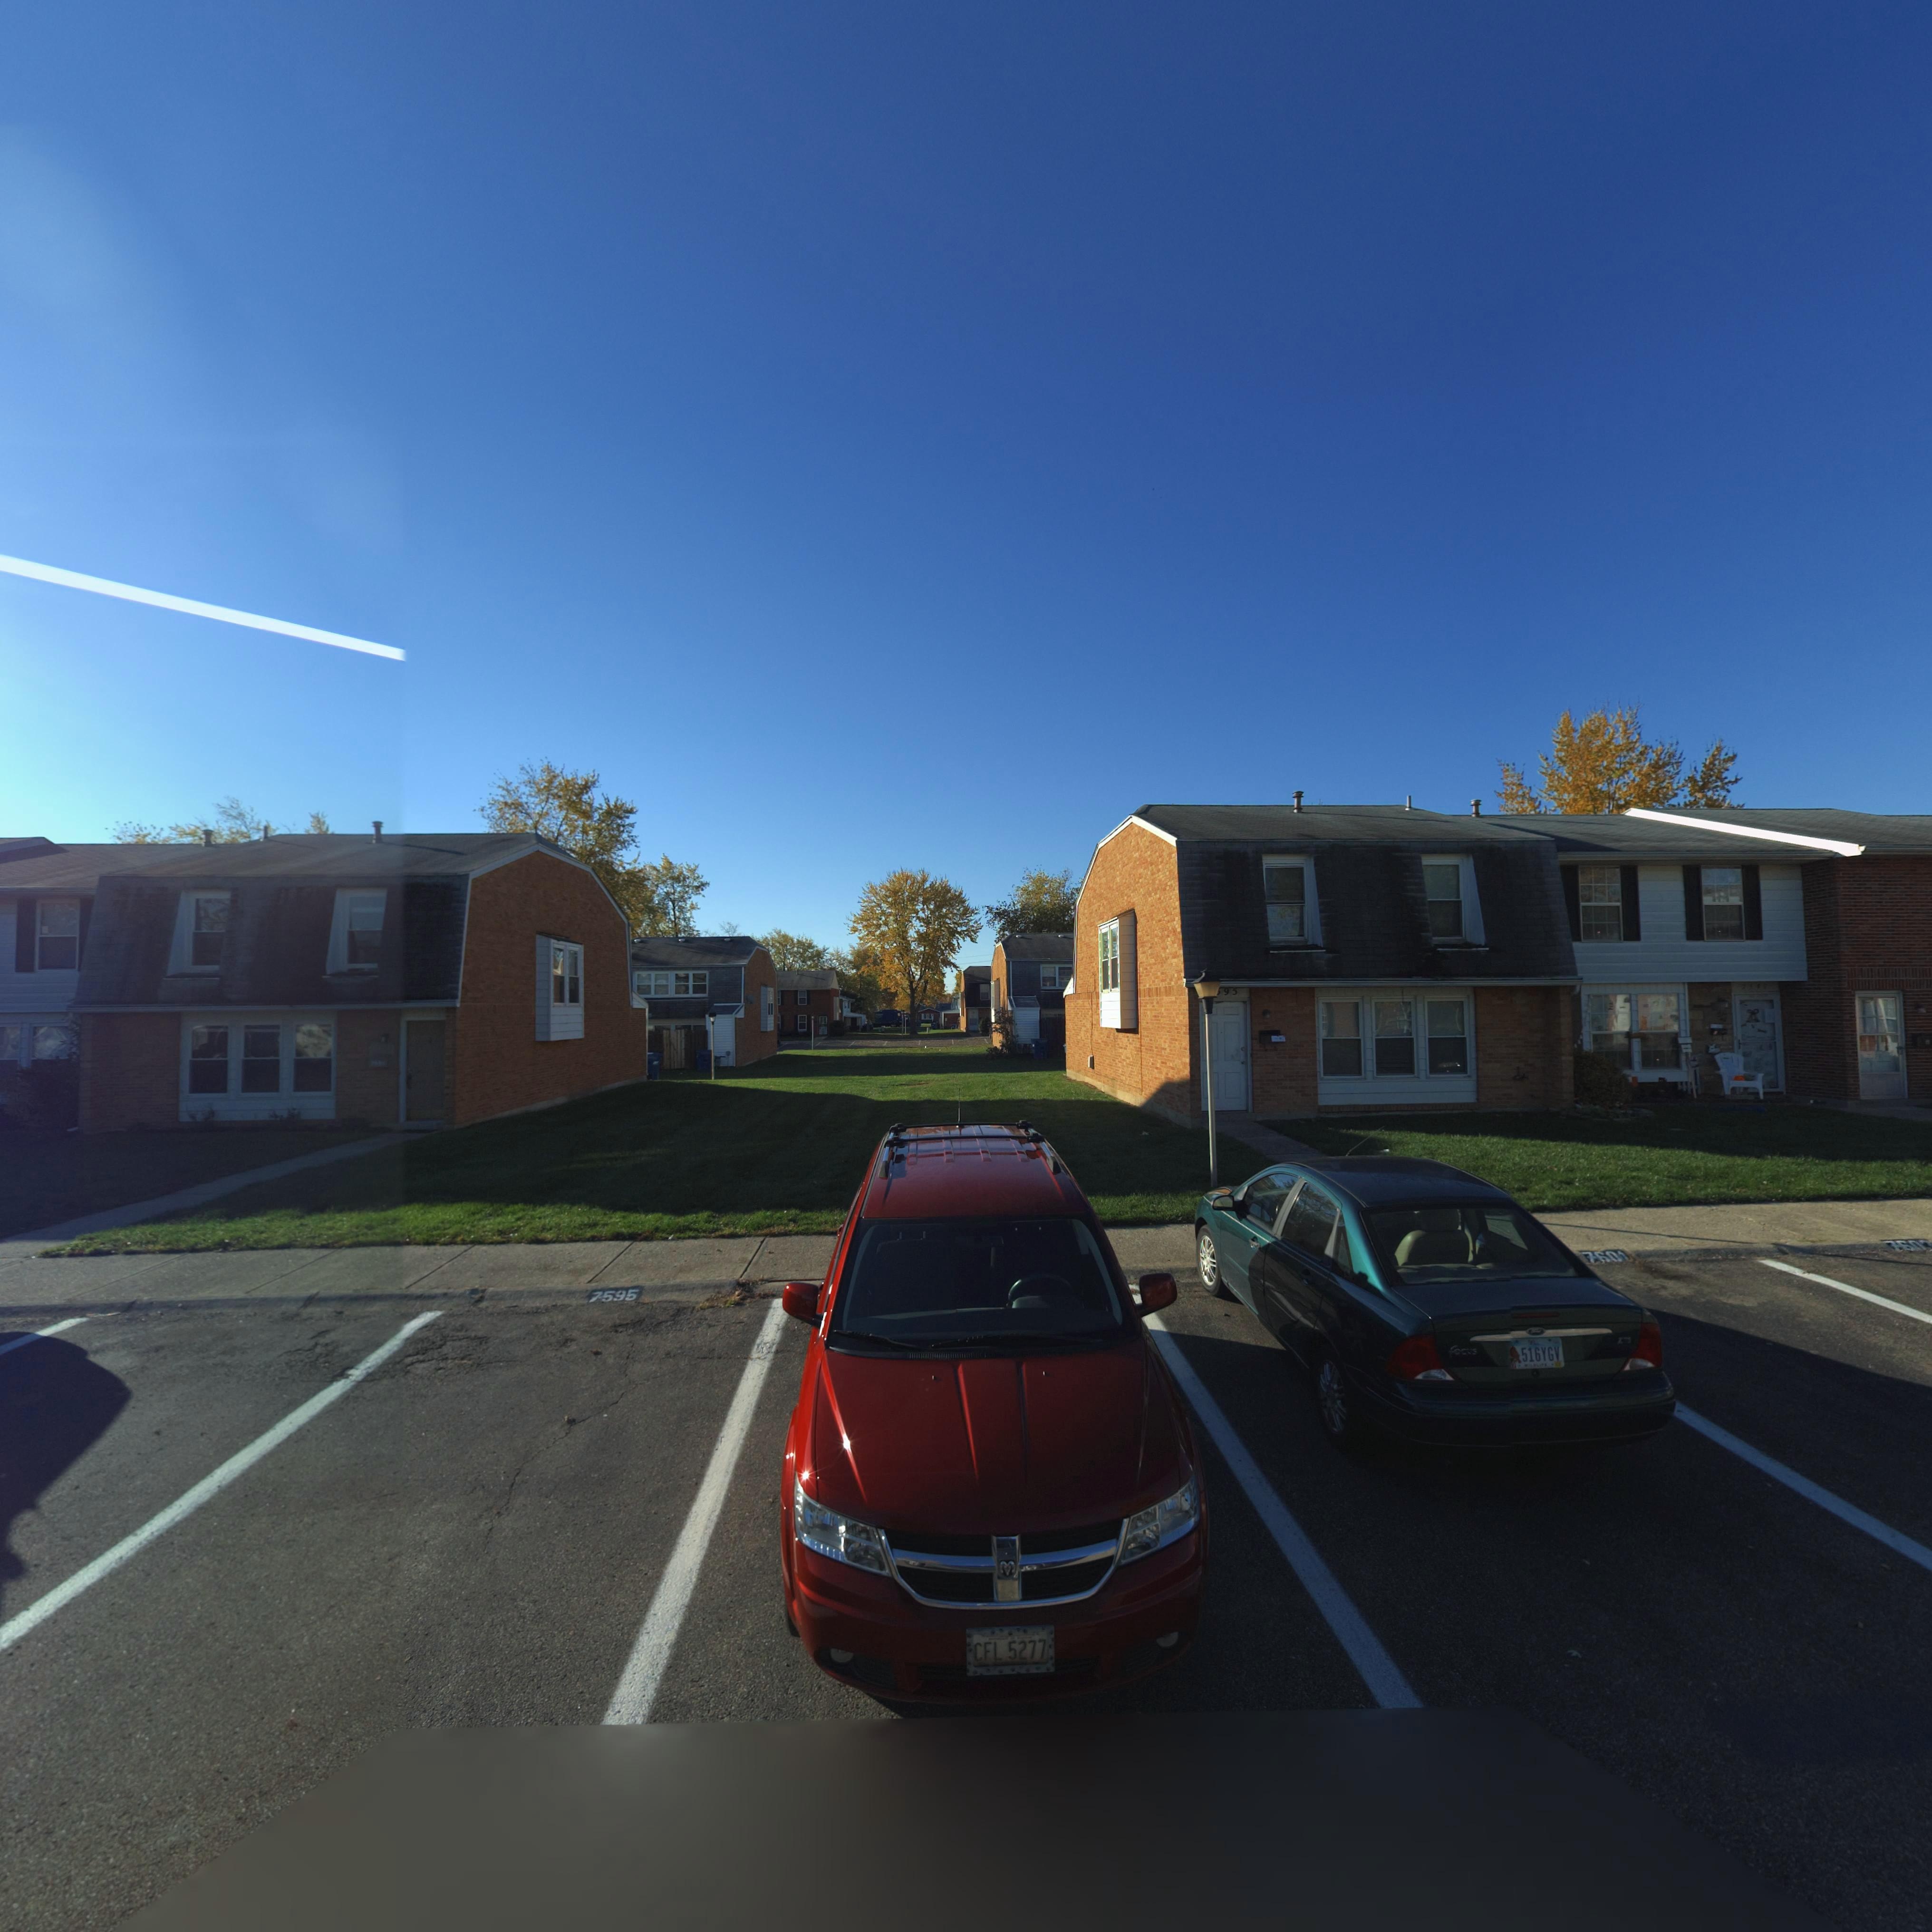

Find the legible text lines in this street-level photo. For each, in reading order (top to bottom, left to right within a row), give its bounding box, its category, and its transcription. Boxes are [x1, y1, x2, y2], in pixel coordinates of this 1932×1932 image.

[1223, 987, 1238, 995] StreetNumber: 95
[1740, 983, 1769, 990] StreetNumber: 7*97
[1882, 1239, 1928, 1252] StreetNumber: 760
[1580, 1250, 1631, 1264] StreetNumber: 7601
[587, 1288, 640, 1304] StreetNumber: 7595